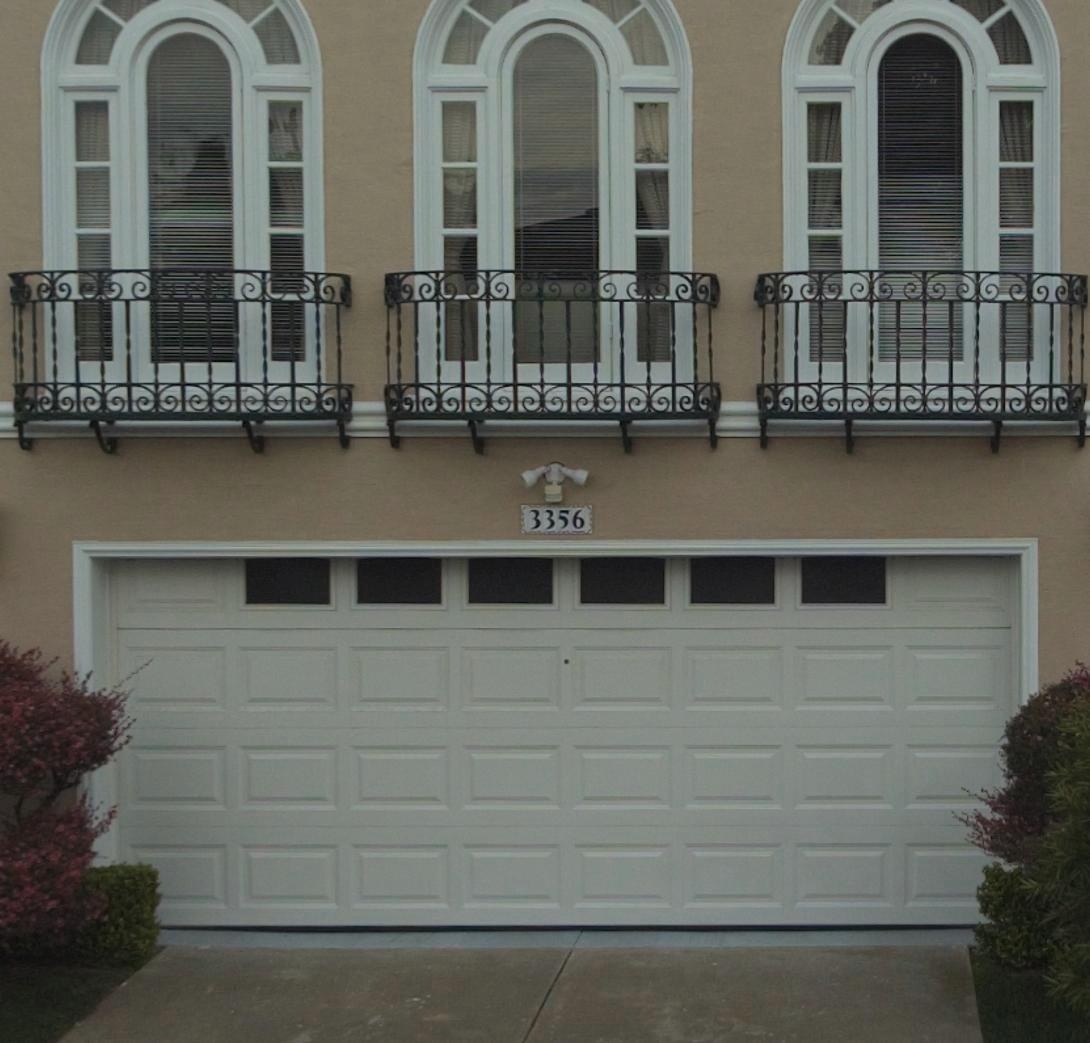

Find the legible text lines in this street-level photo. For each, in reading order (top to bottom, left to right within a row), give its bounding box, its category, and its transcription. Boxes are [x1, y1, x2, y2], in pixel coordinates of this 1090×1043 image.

[526, 505, 589, 533] StreetNumber: 3356